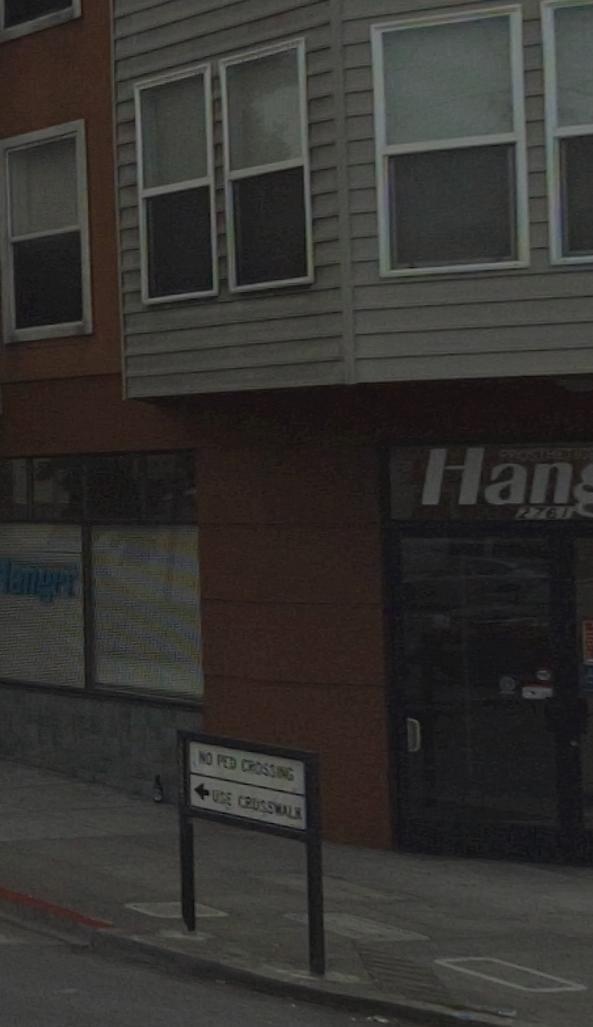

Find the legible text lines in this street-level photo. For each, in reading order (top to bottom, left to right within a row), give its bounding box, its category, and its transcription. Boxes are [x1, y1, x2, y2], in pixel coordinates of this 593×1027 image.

[498, 446, 589, 465] None: PROSTHETIC
[416, 445, 577, 508] BusinessName: Han
[516, 505, 573, 521] StreetNumber: 2761
[7, 568, 81, 605] None: anger
[195, 748, 297, 784] None: NO PED CROSSING
[210, 787, 303, 822] None: USE CROSSWALK